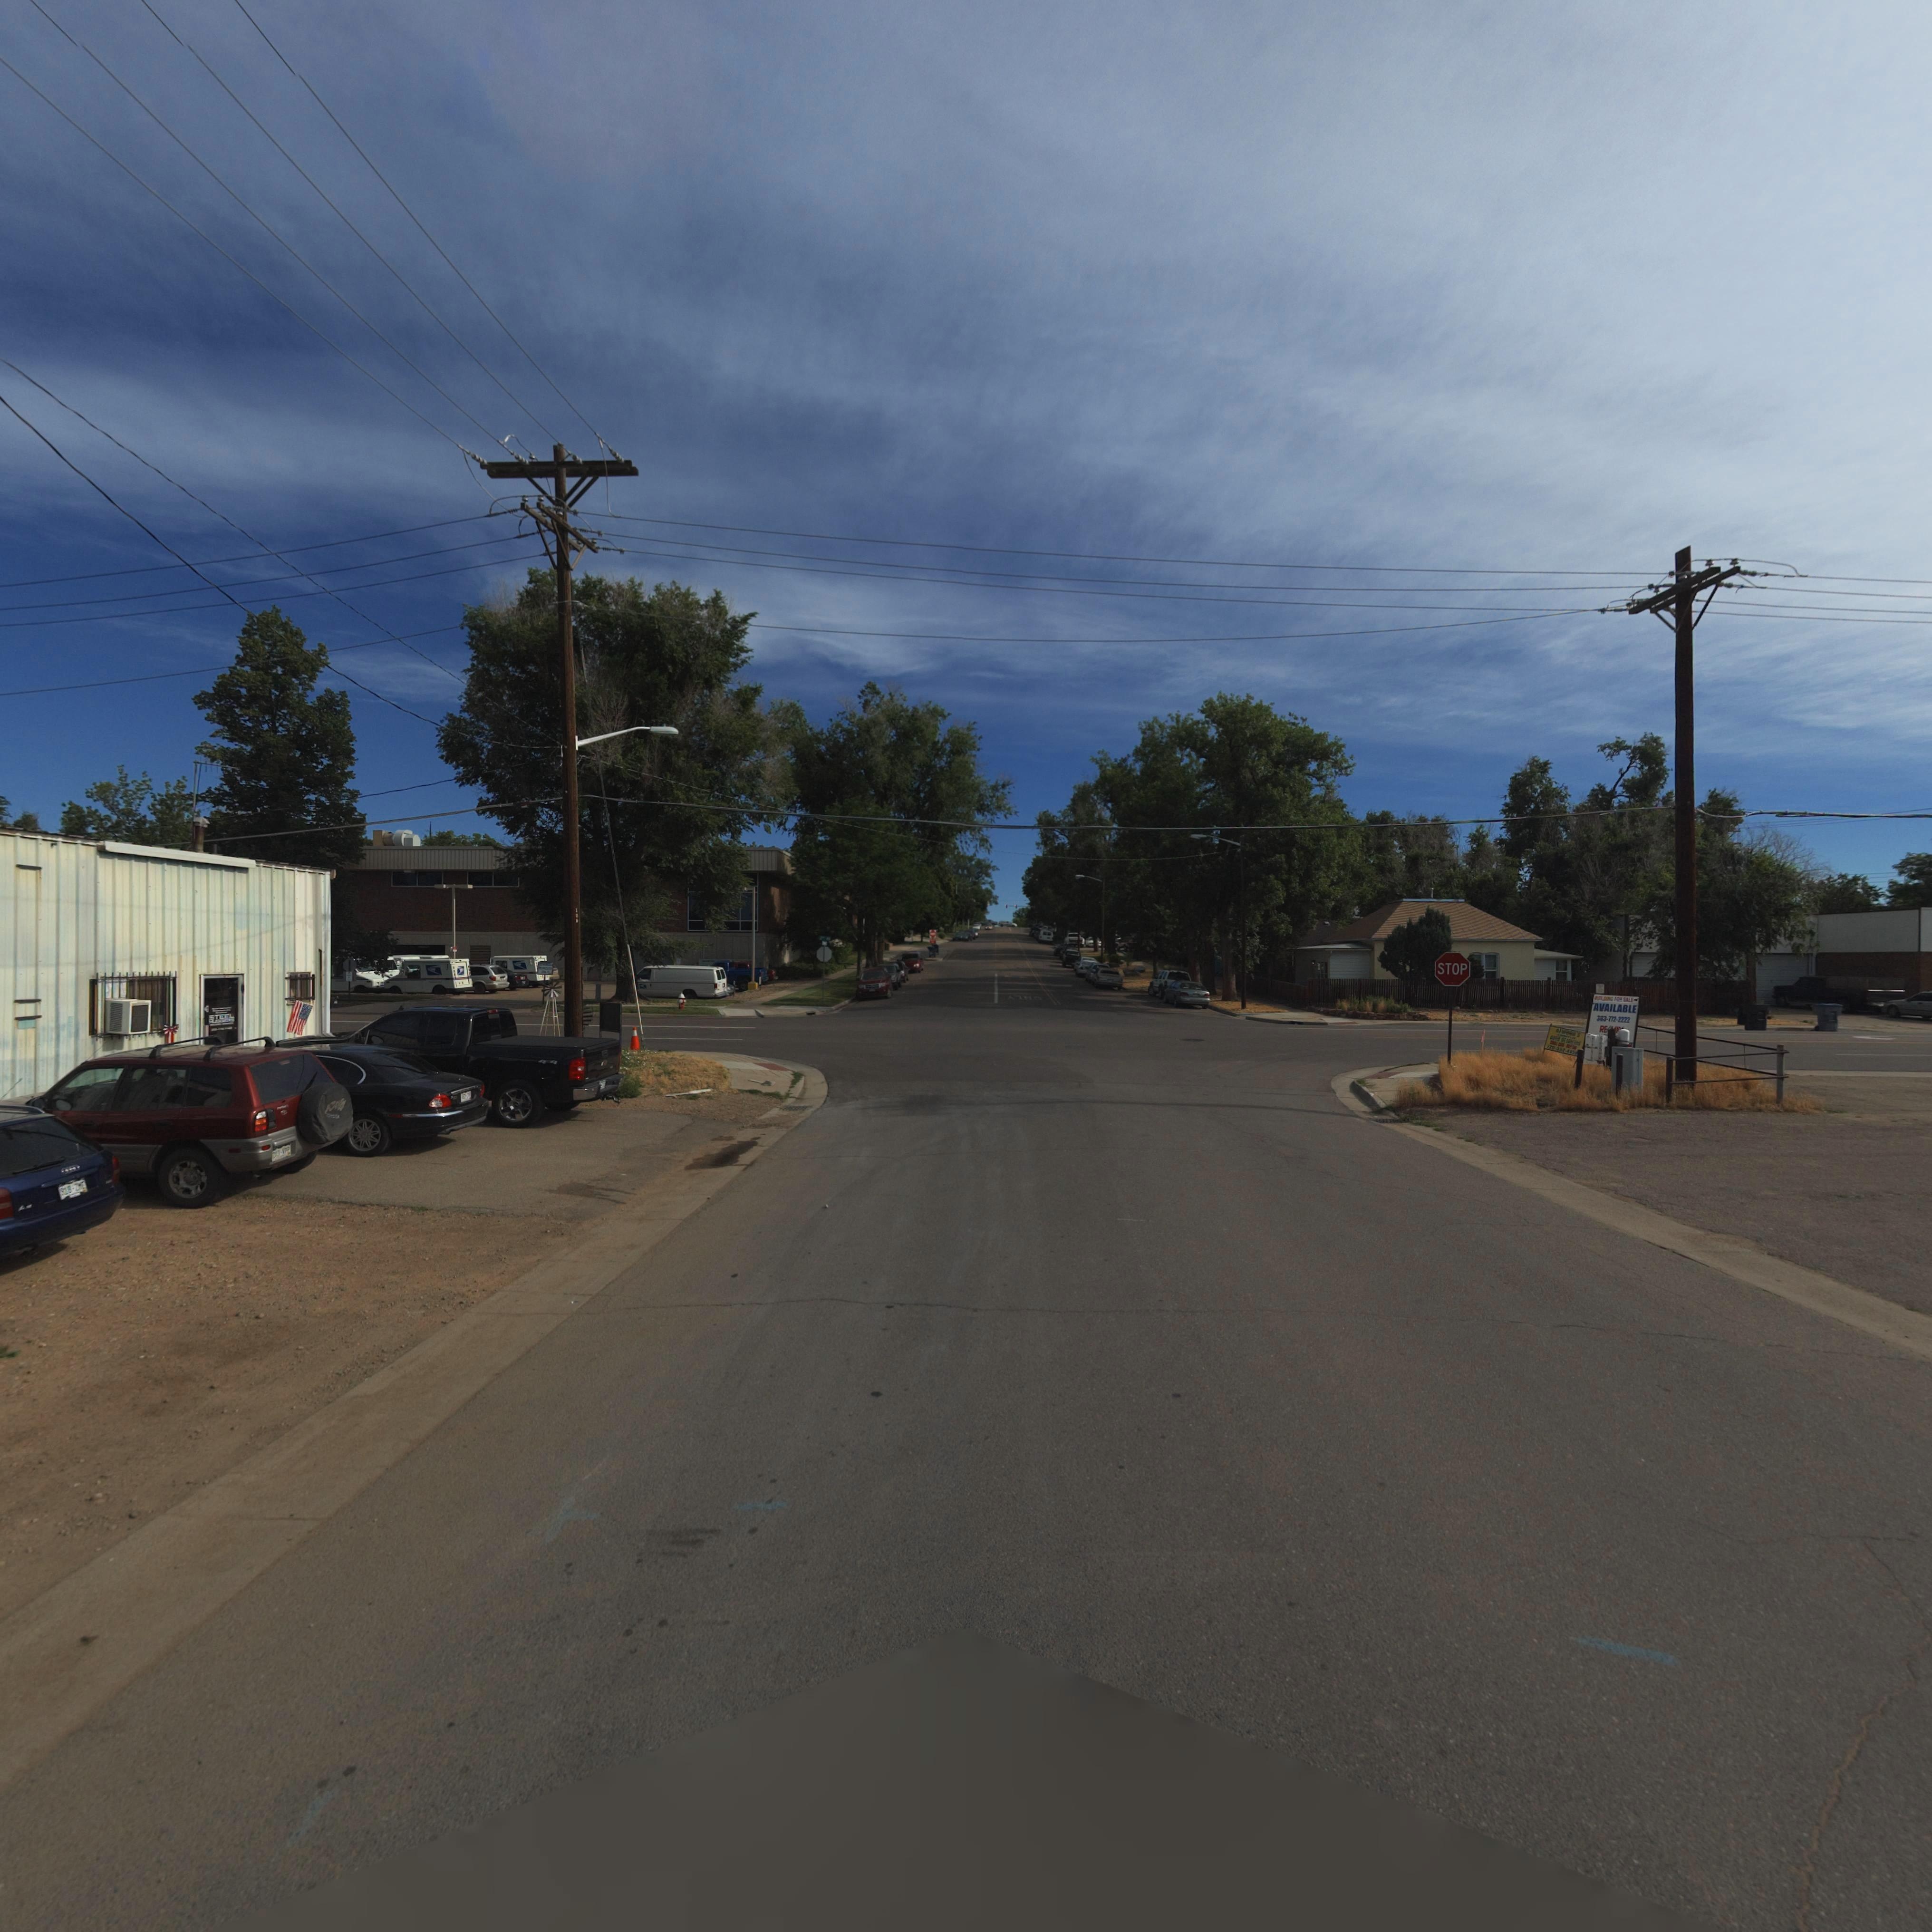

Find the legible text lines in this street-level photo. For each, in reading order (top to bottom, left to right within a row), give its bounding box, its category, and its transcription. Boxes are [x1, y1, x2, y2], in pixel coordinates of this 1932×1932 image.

[575, 907, 579, 923] StreetNumber: 129
[819, 936, 831, 940] StreetName: 2nd Av
[208, 1013, 234, 1019] BusinessName: STEEL
[208, 1018, 234, 1024] BusinessName: HUGGERS